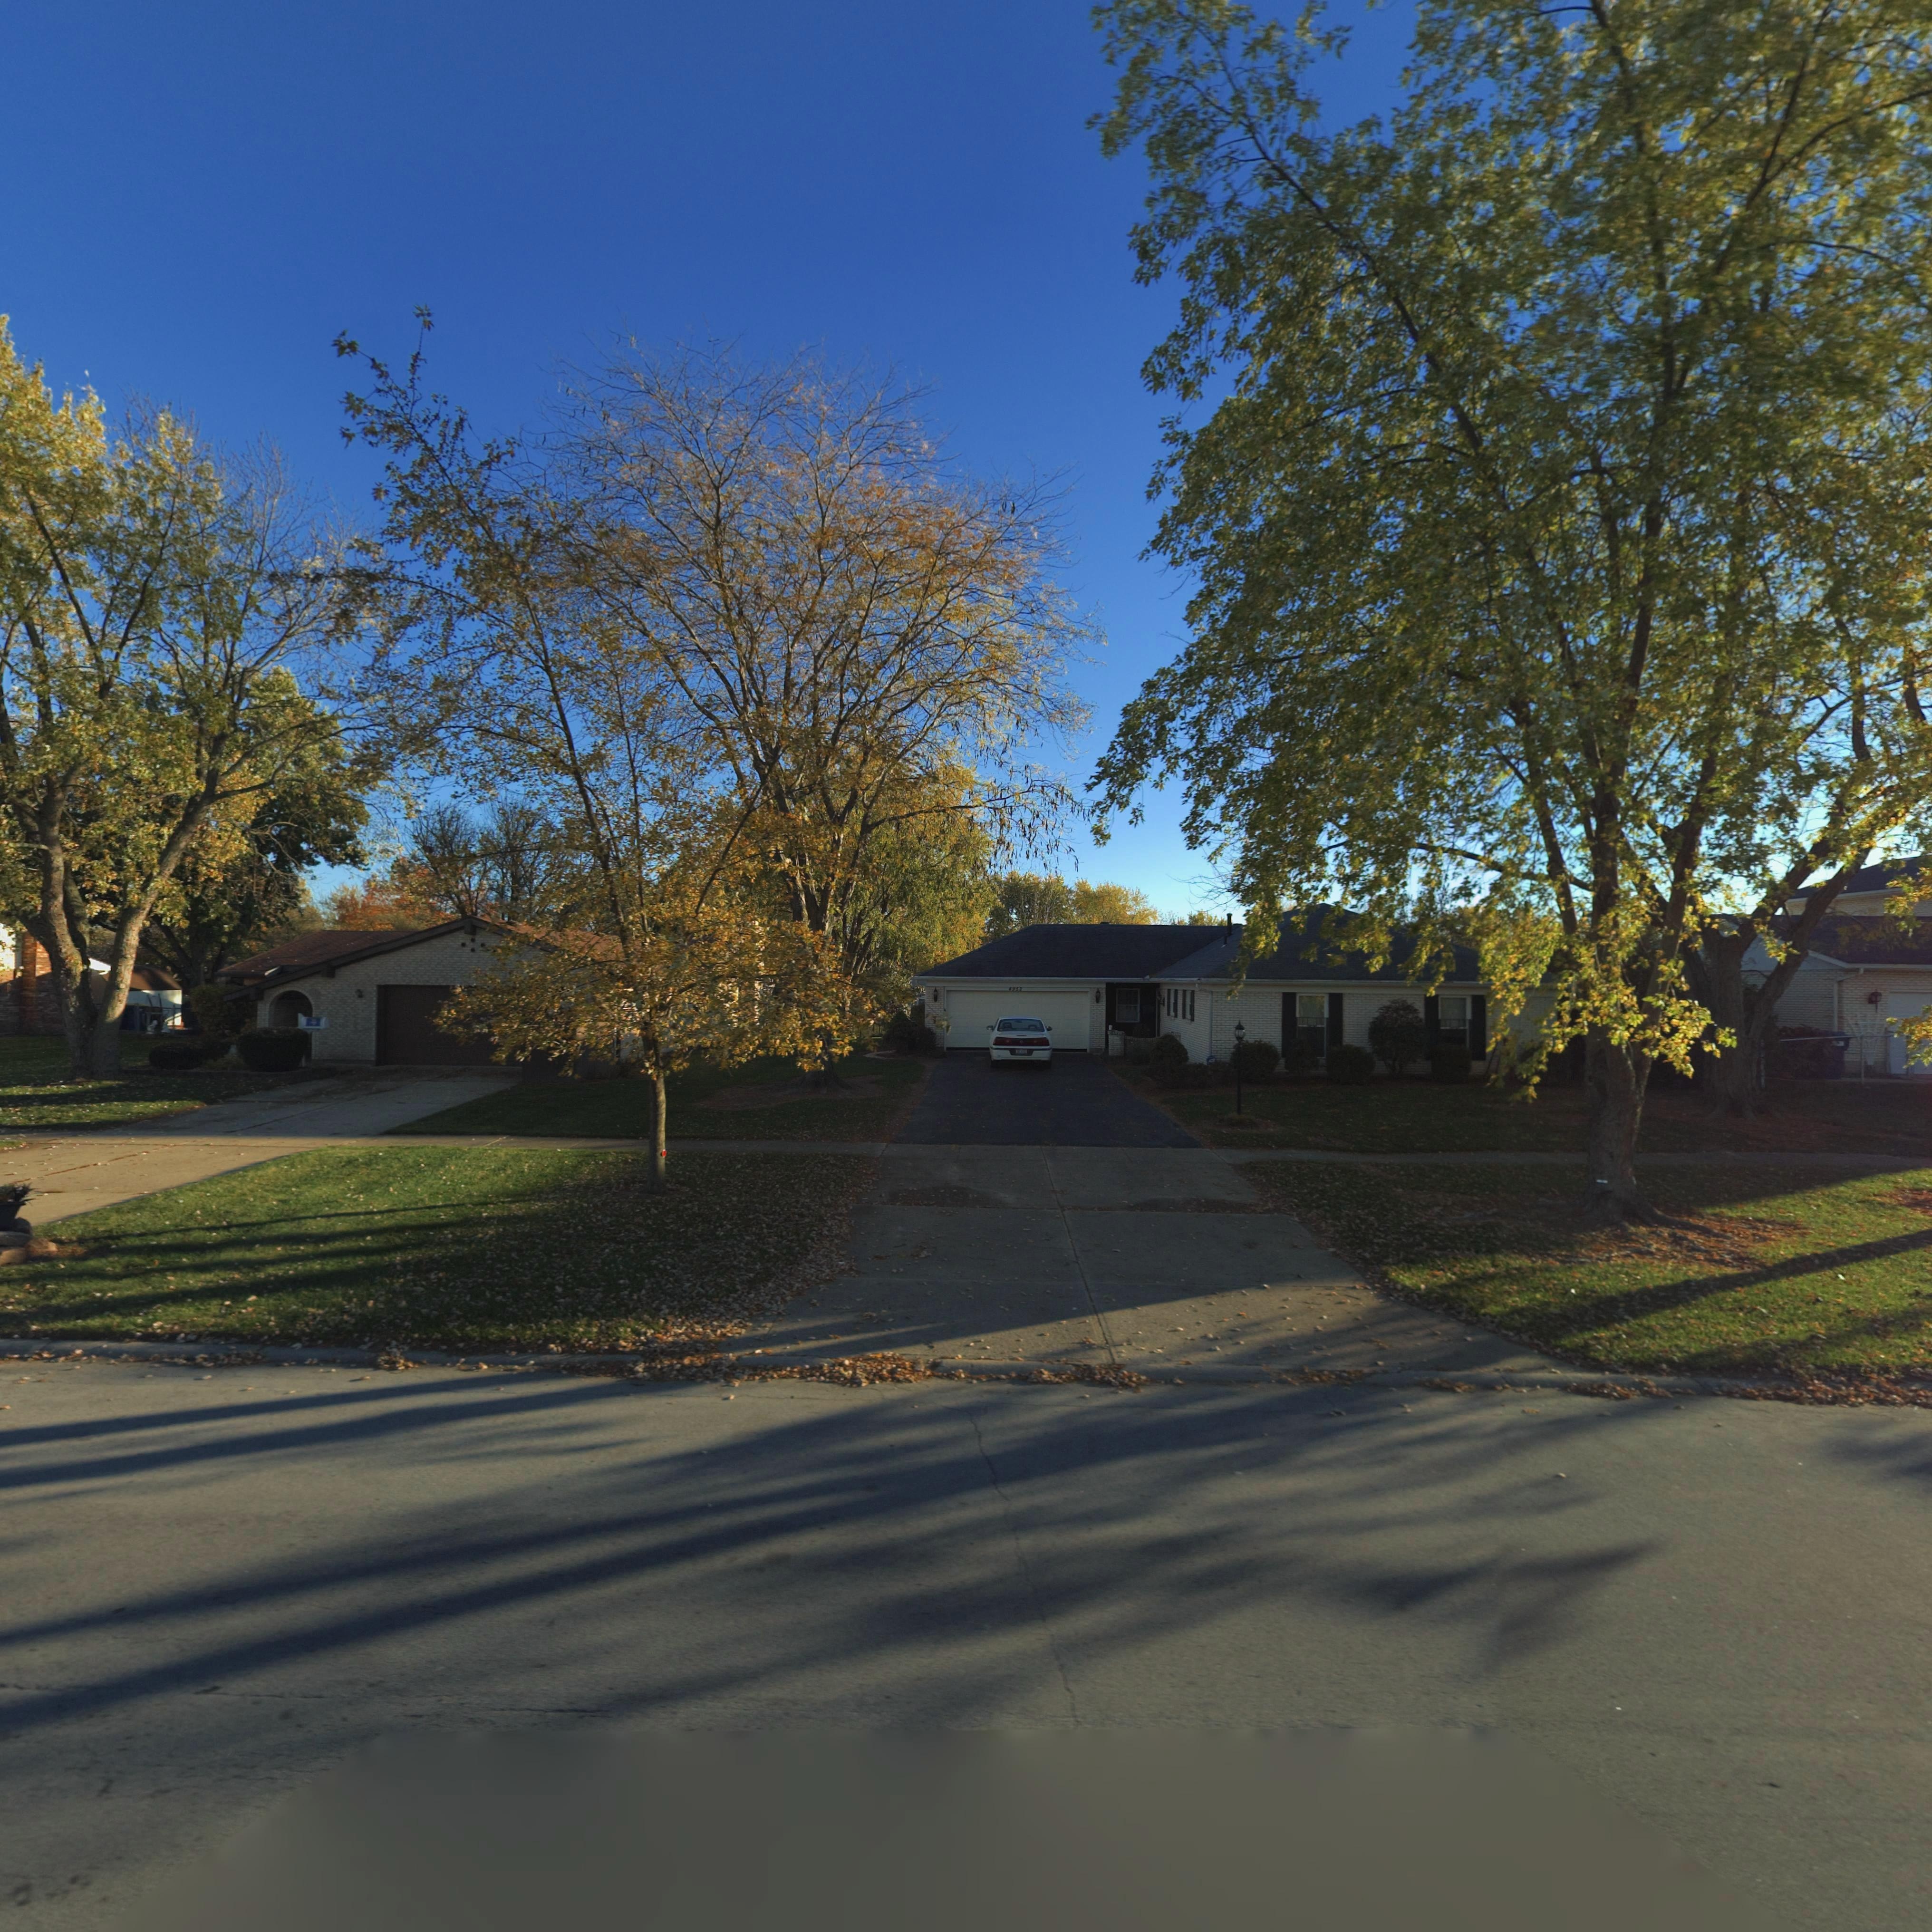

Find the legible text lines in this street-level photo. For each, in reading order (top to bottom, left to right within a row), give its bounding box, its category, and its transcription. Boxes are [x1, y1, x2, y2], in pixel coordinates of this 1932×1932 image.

[1008, 986, 1023, 991] StreetNumber: 4952